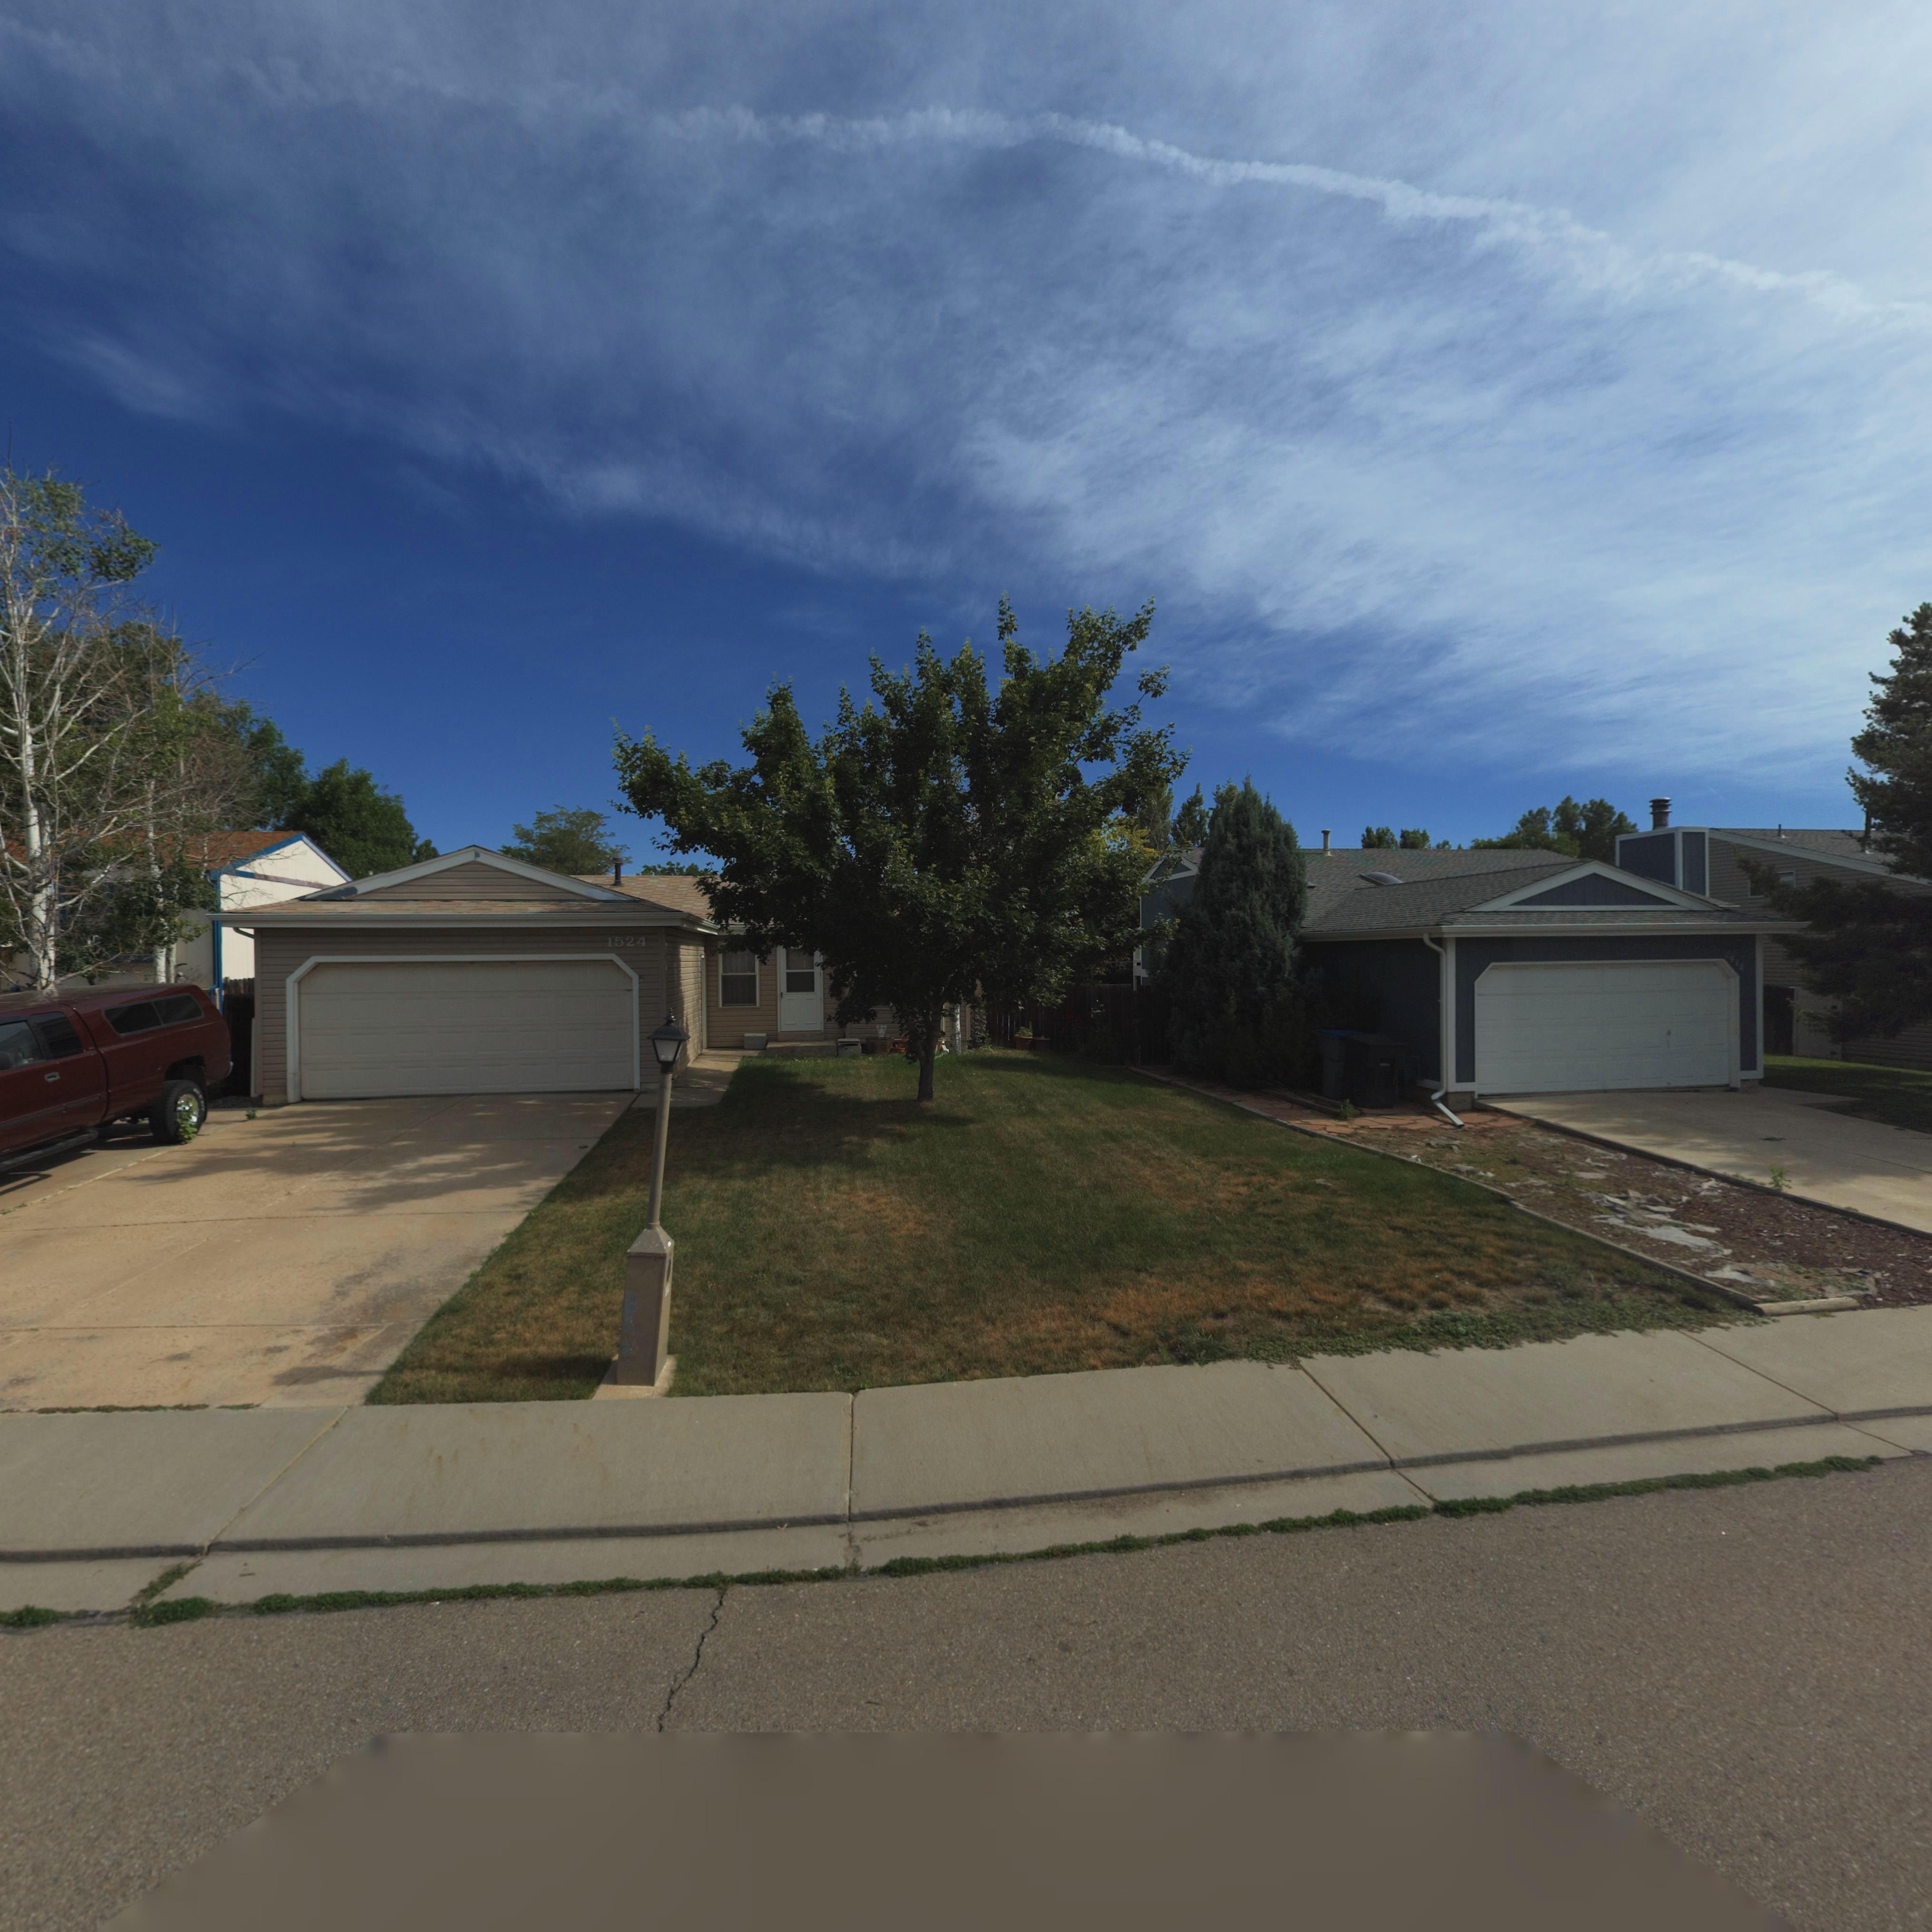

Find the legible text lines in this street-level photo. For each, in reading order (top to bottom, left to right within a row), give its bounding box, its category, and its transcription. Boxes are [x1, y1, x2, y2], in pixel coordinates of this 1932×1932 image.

[607, 936, 646, 947] StreetNumber: 1524
[1725, 951, 1744, 971] StreetNumber: 1518